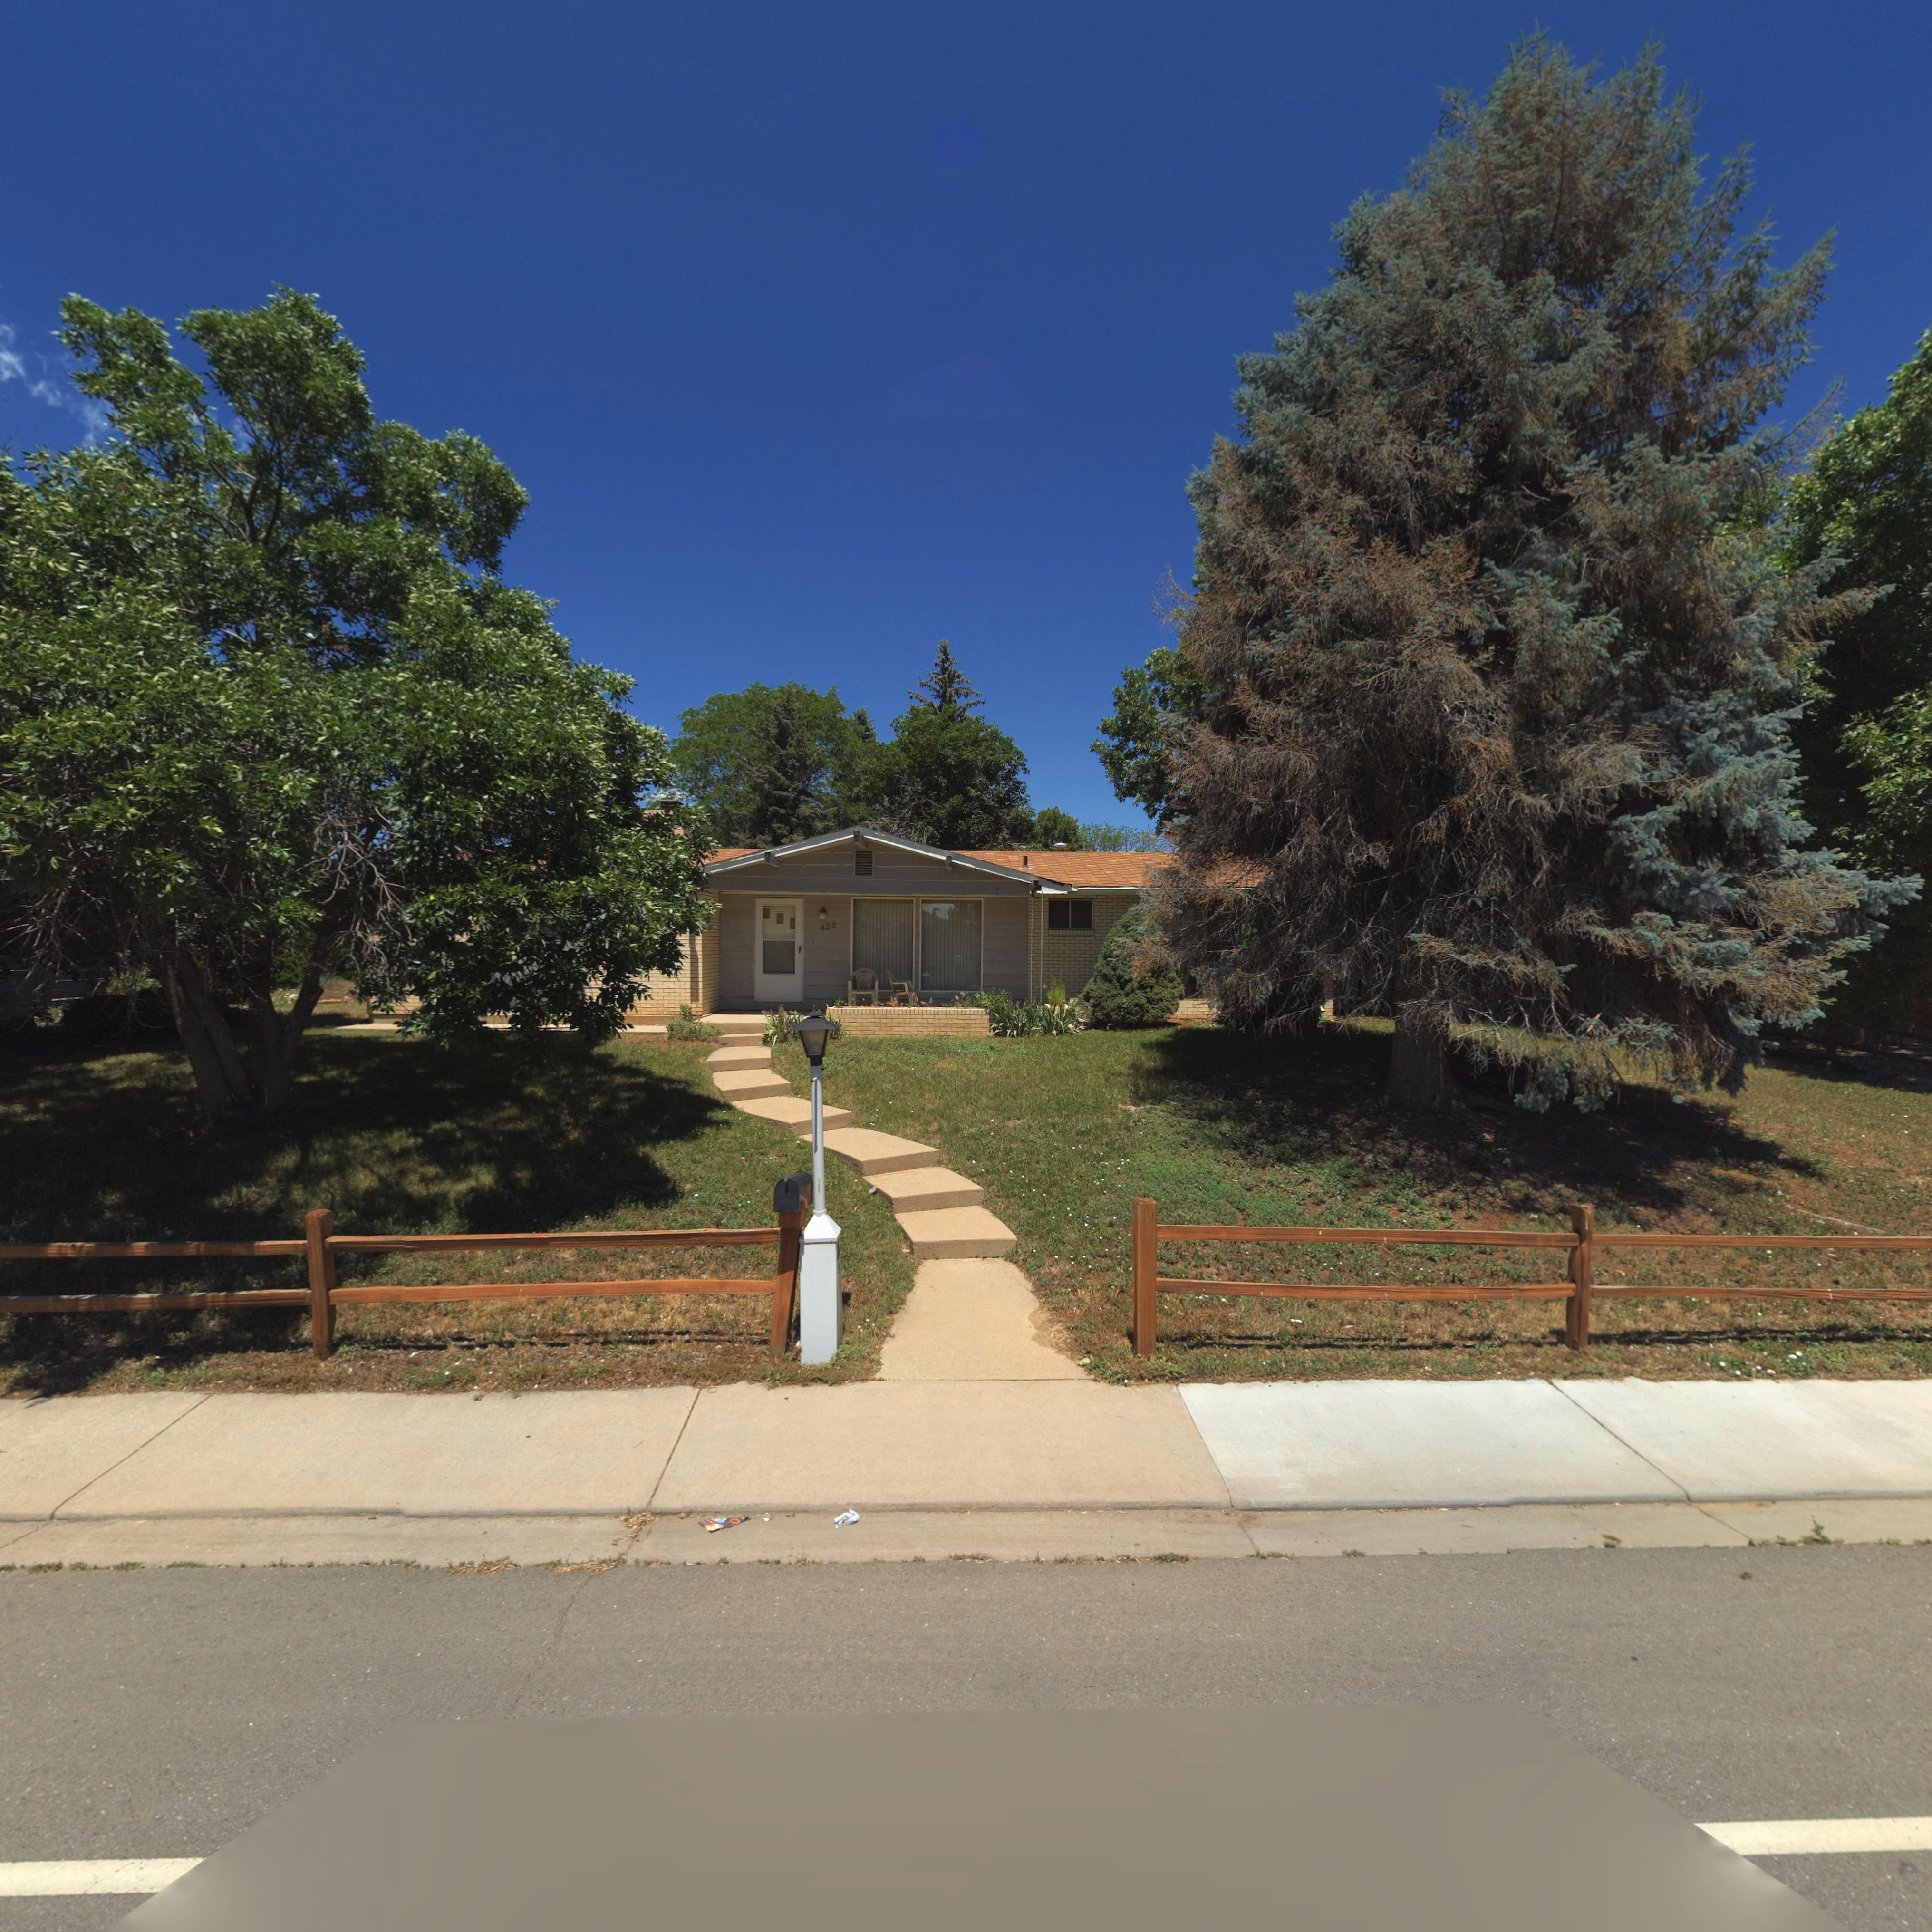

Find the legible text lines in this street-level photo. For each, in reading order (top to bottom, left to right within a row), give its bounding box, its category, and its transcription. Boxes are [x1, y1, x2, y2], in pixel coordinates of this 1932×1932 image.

[819, 921, 836, 931] StreetNumber: 422